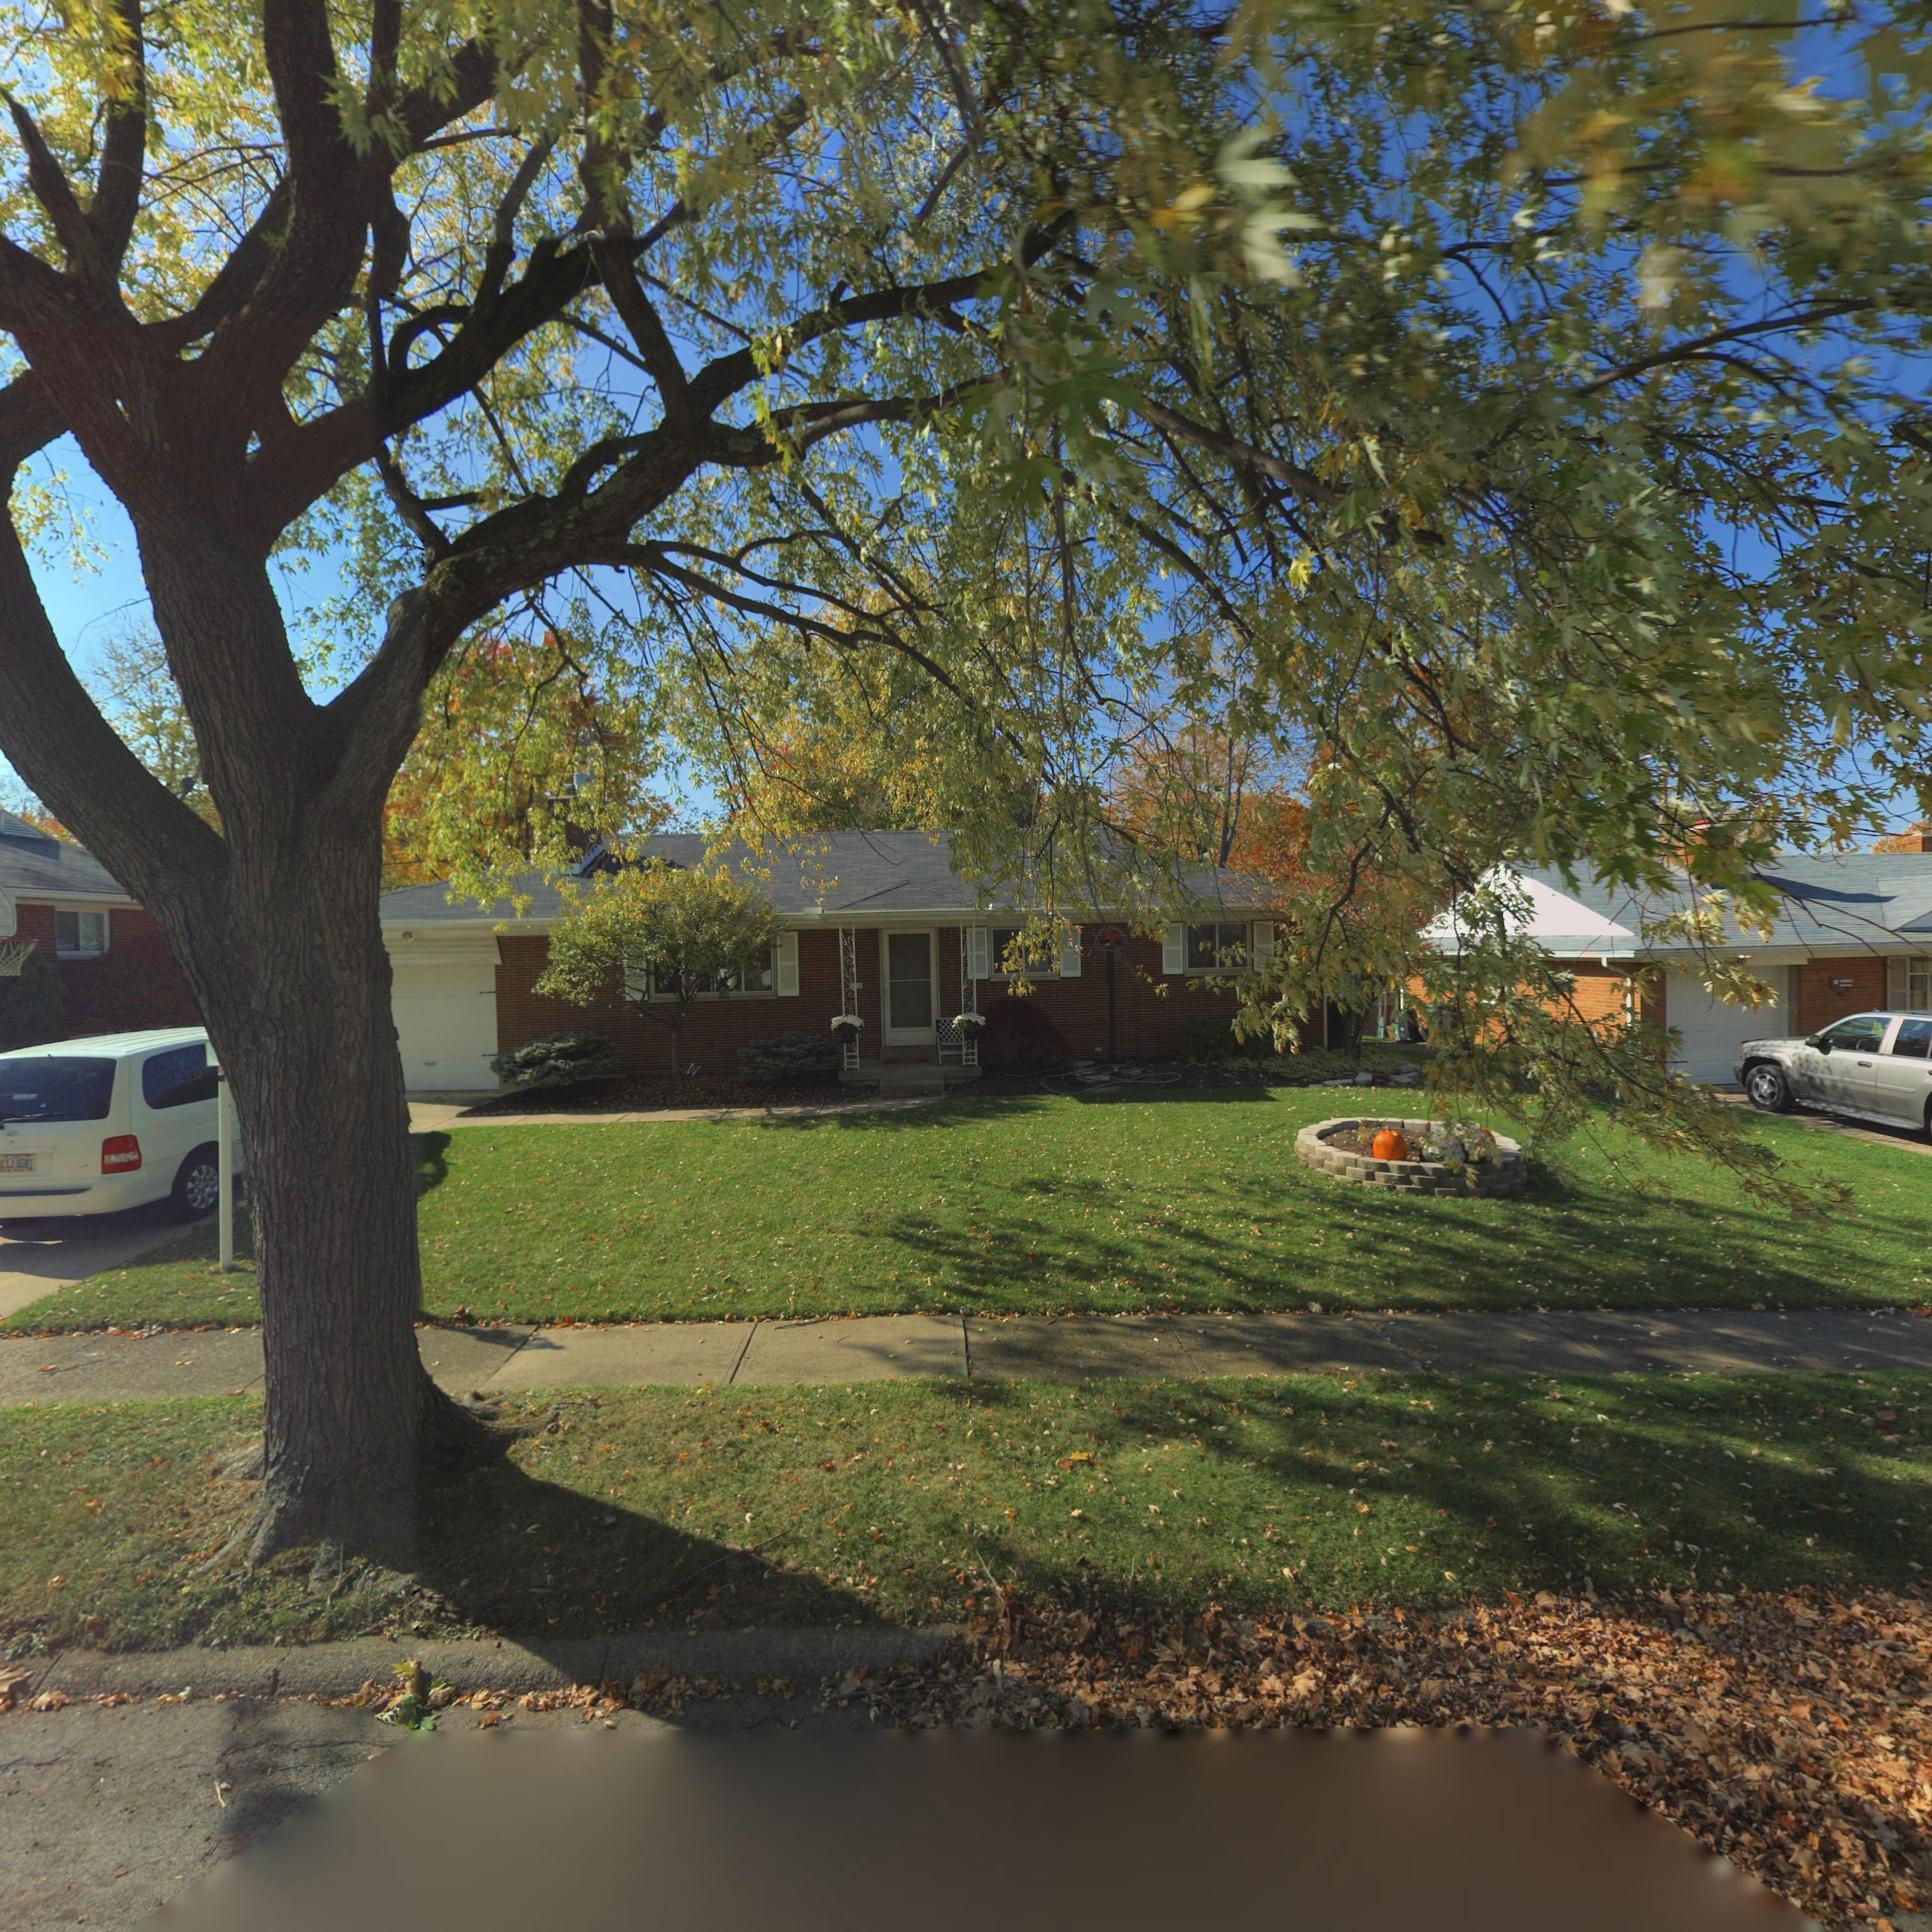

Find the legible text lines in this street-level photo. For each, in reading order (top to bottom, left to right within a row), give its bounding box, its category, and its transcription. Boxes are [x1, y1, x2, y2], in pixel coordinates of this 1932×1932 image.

[0, 1159, 32, 1169] None: CTJ 9587